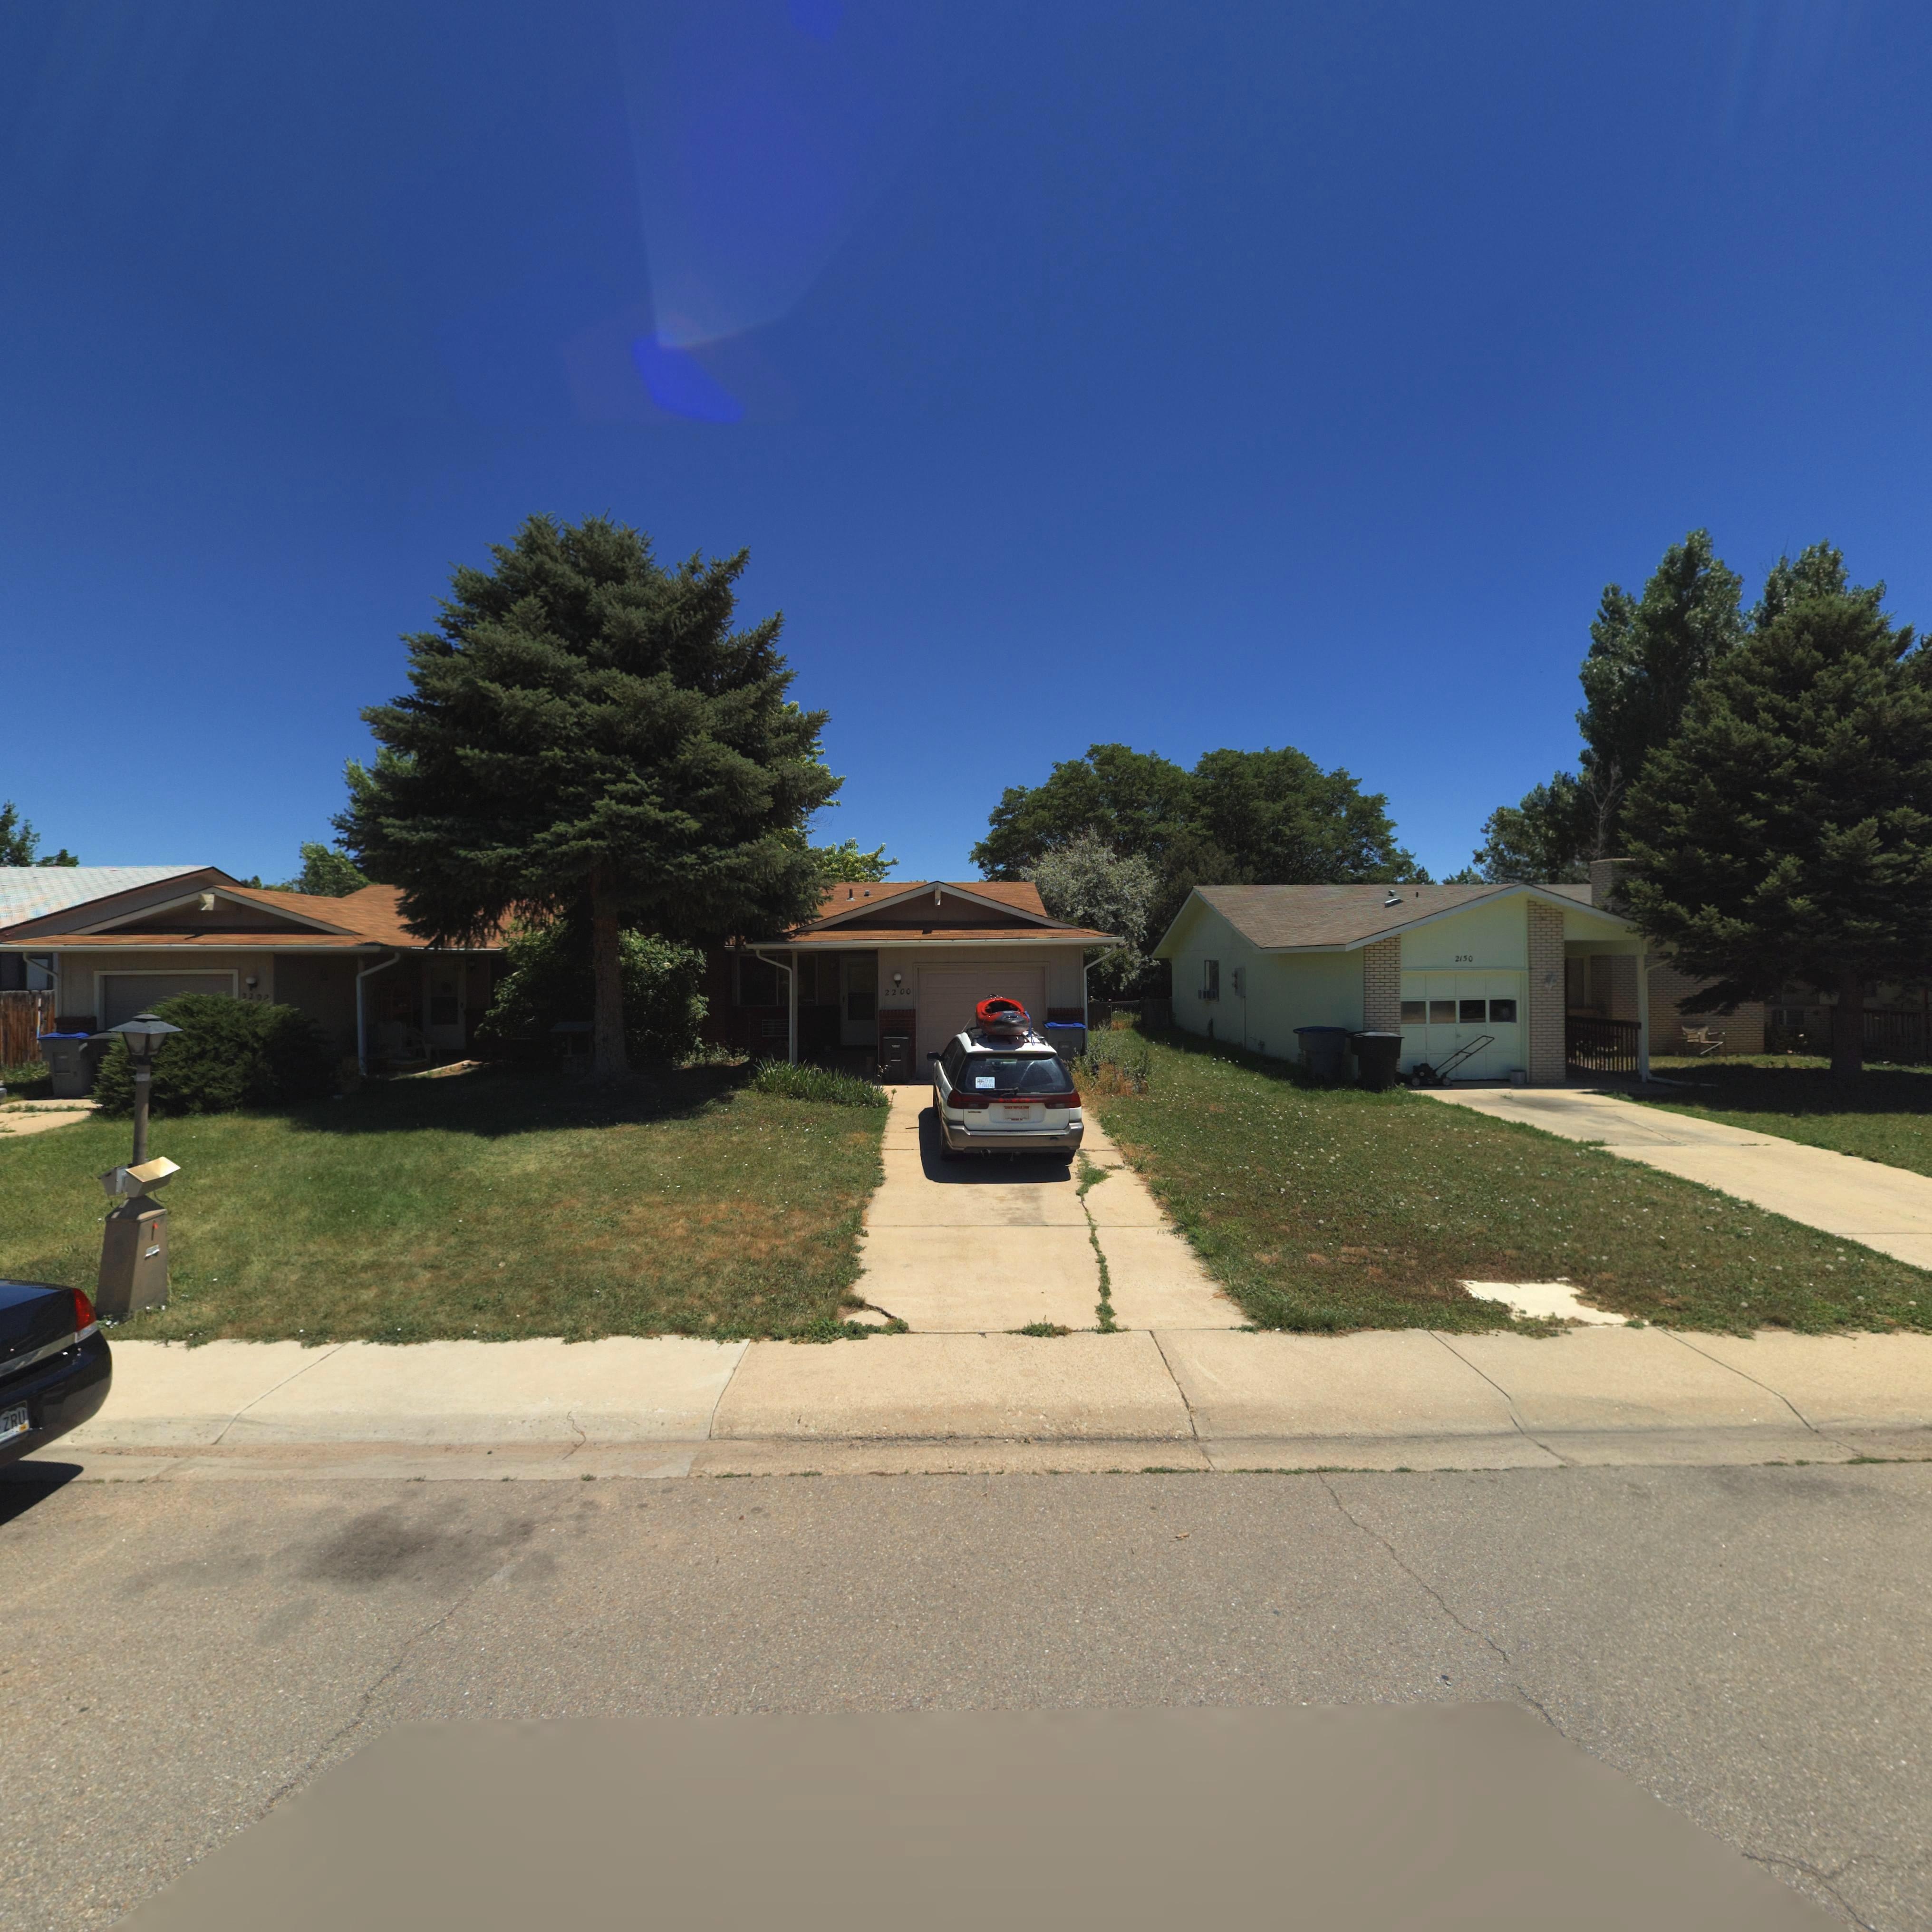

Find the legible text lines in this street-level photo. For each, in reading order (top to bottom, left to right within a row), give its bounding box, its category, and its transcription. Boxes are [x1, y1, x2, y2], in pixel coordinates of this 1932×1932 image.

[1454, 955, 1473, 962] StreetNumber: 2150
[884, 987, 911, 996] StreetNumber: 2200
[241, 992, 269, 1002] StreetNumber: 2202